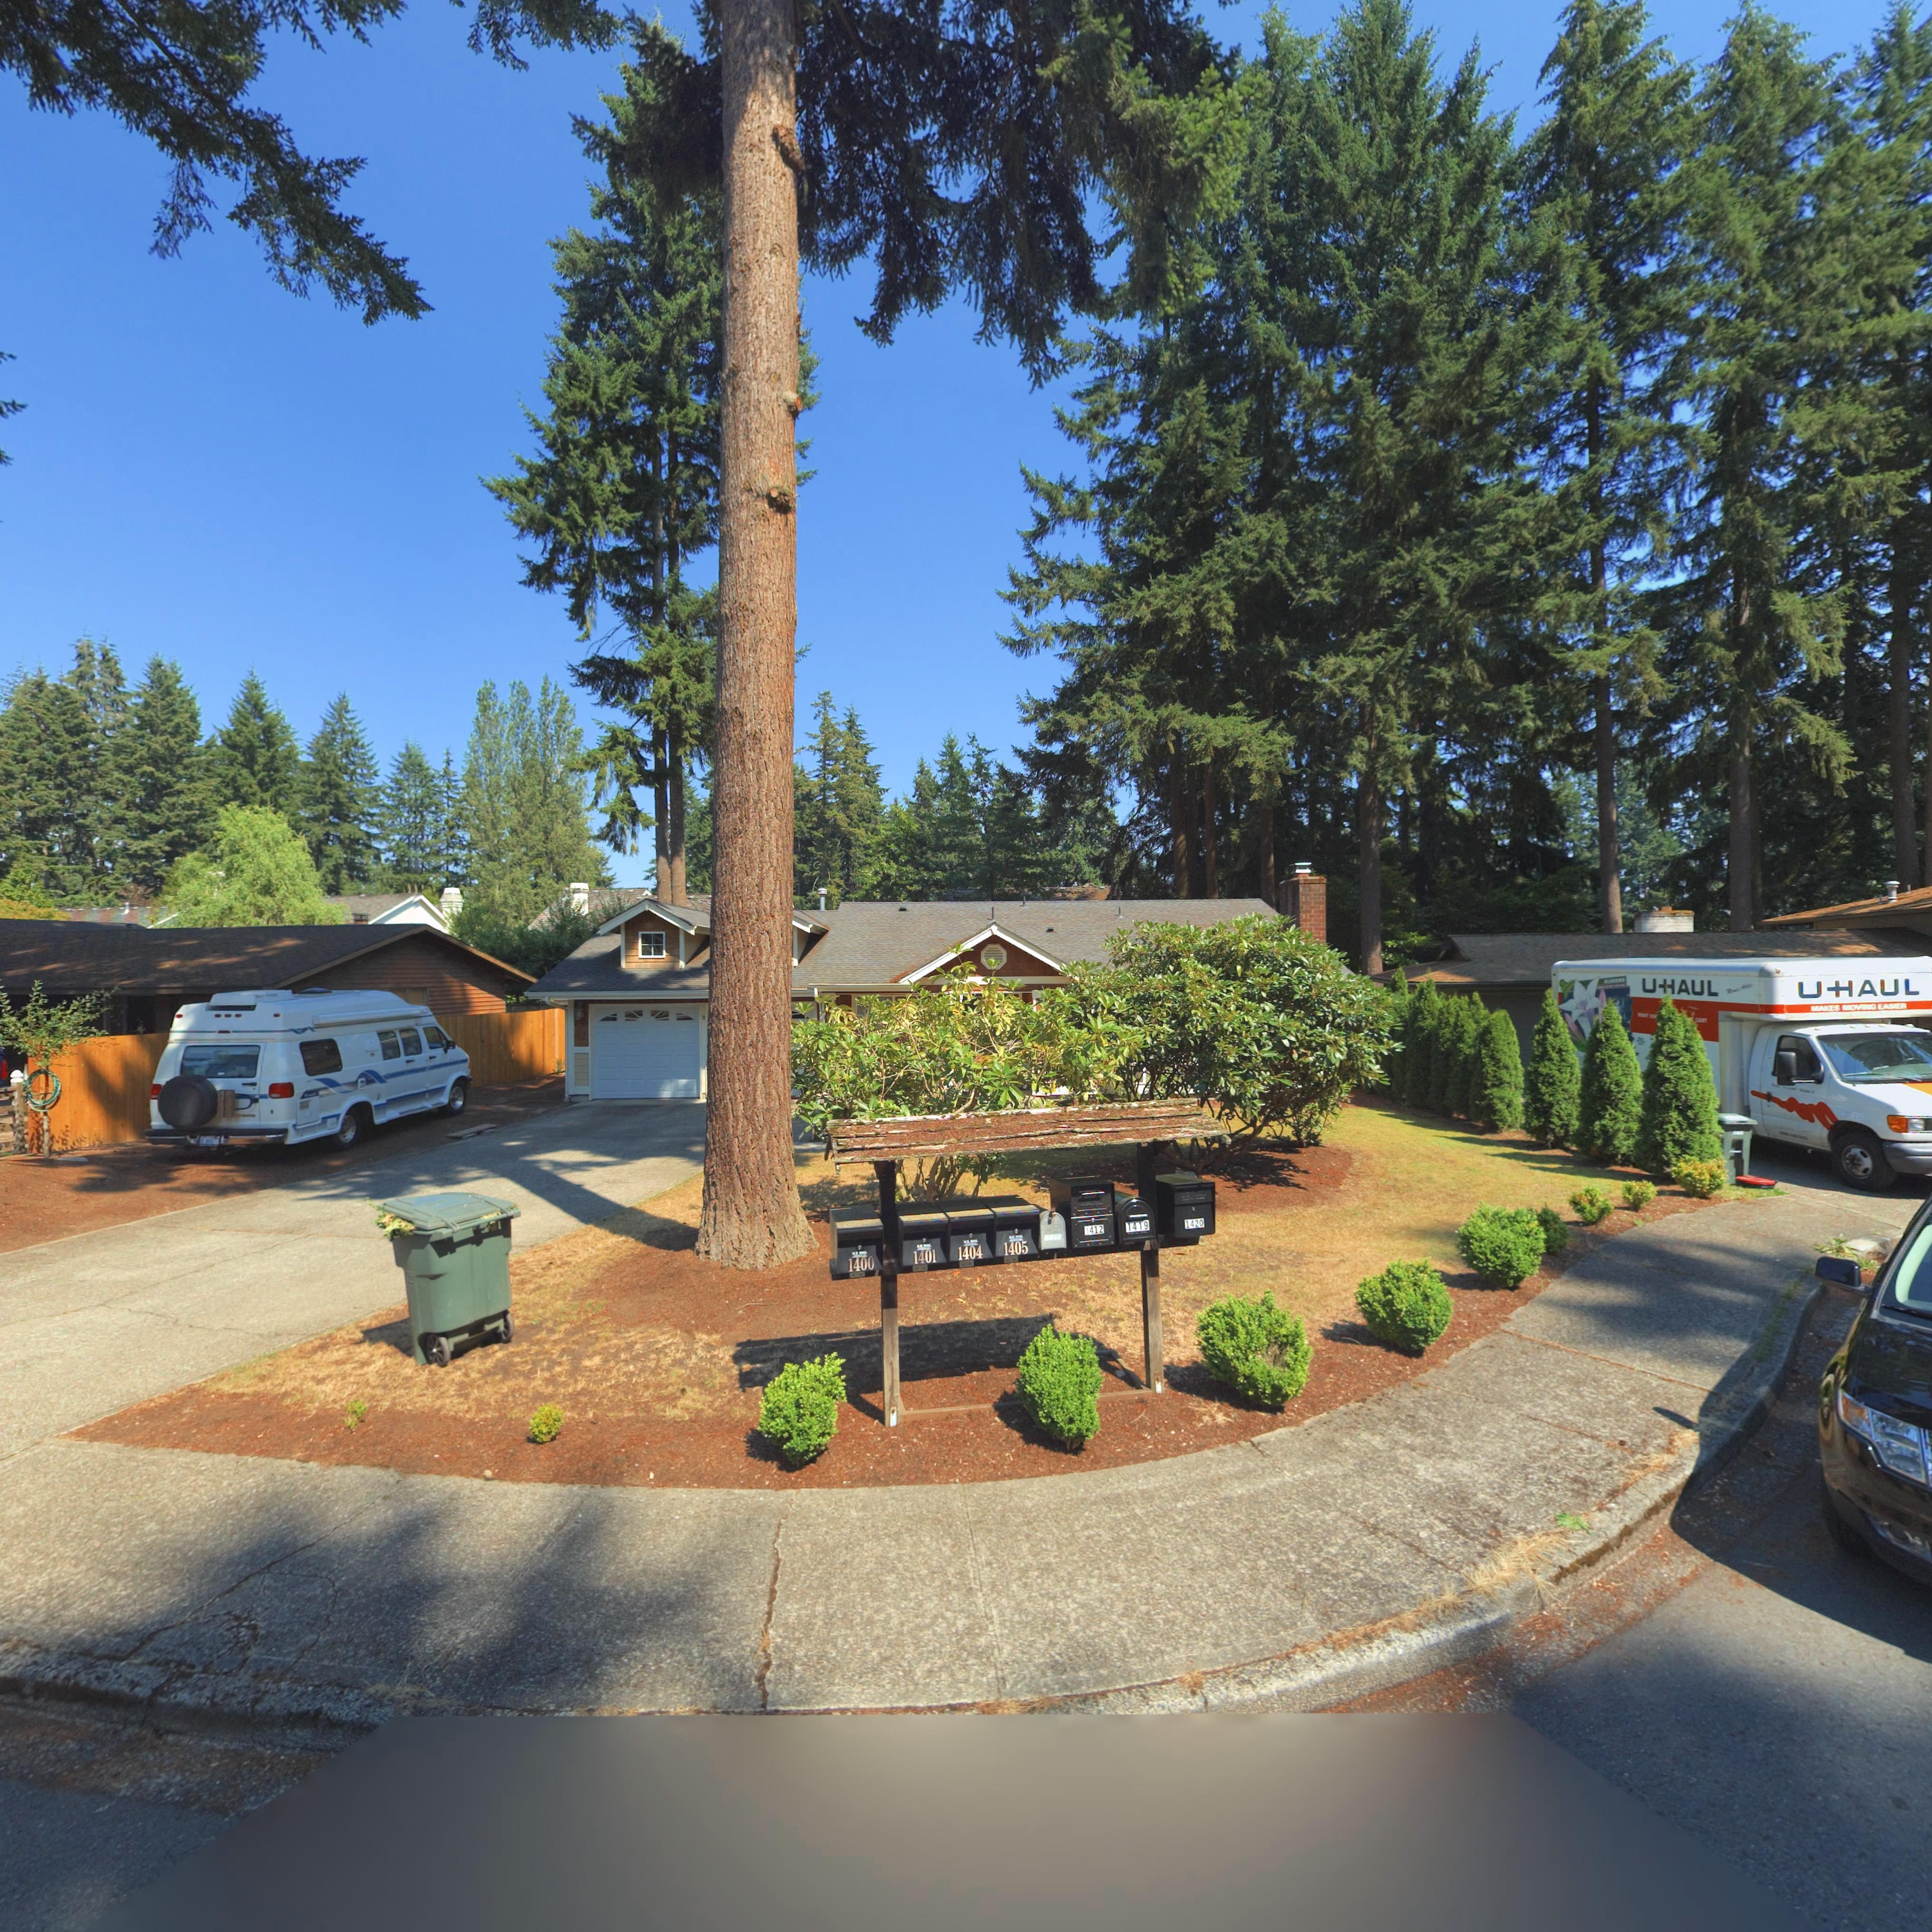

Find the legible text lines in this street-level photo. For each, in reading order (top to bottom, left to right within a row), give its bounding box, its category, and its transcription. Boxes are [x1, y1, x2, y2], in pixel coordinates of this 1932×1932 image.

[1084, 1225, 1104, 1235] StreetNumber: 1412
[1127, 1219, 1149, 1232] StreetNumber: 1419
[1185, 1218, 1204, 1229] StreetNumber: 1420
[847, 1255, 875, 1273] StreetNumber: 1400
[912, 1247, 937, 1265] StreetNumber: 1401
[958, 1245, 982, 1261] StreetNumber: 1404
[1002, 1239, 1030, 1256] StreetNumber: 1405